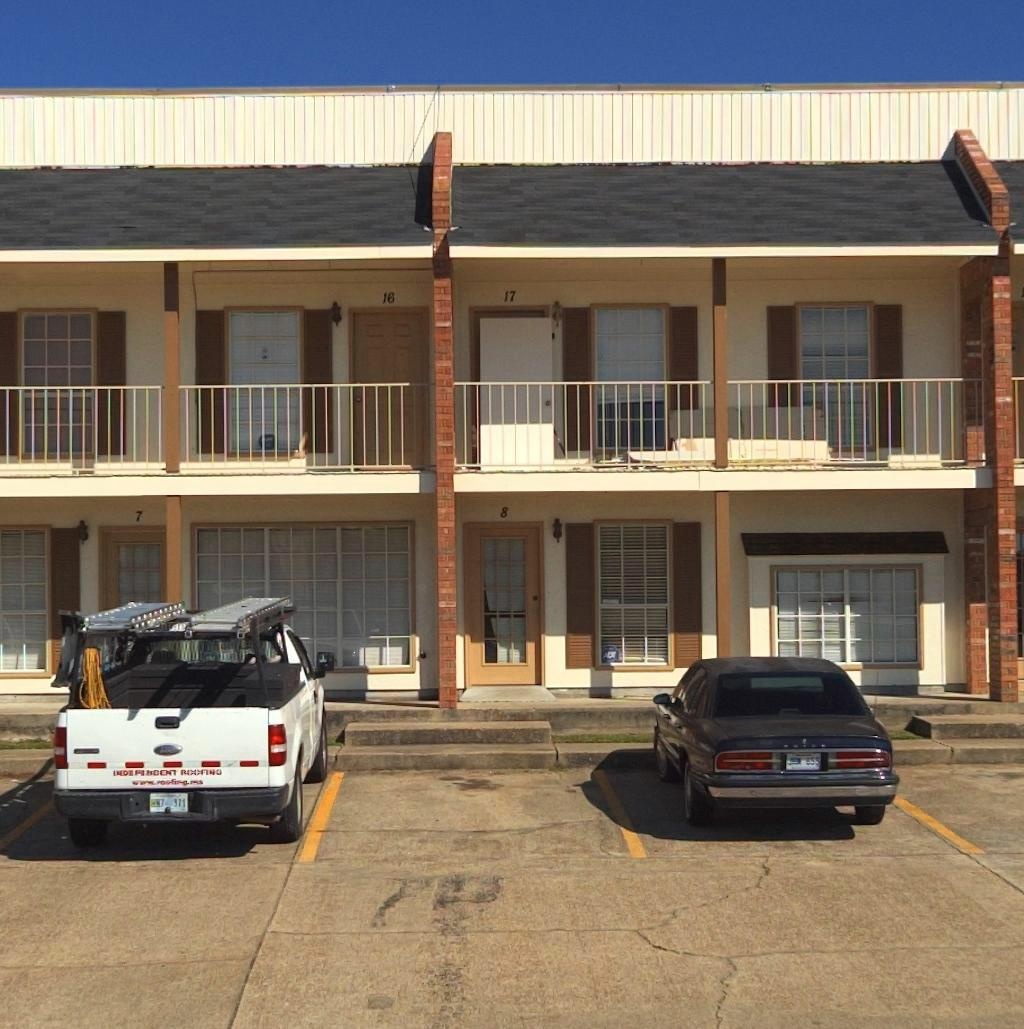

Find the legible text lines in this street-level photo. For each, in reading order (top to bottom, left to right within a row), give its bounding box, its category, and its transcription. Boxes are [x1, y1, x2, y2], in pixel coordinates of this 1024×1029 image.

[380, 289, 397, 307] StreetNumber: 16
[501, 288, 519, 304] StreetNumber: 17
[133, 508, 147, 525] StreetNumber: 7
[497, 504, 511, 521] StreetNumber: 8
[110, 766, 226, 779] None: IND*PENDENT ROOFING